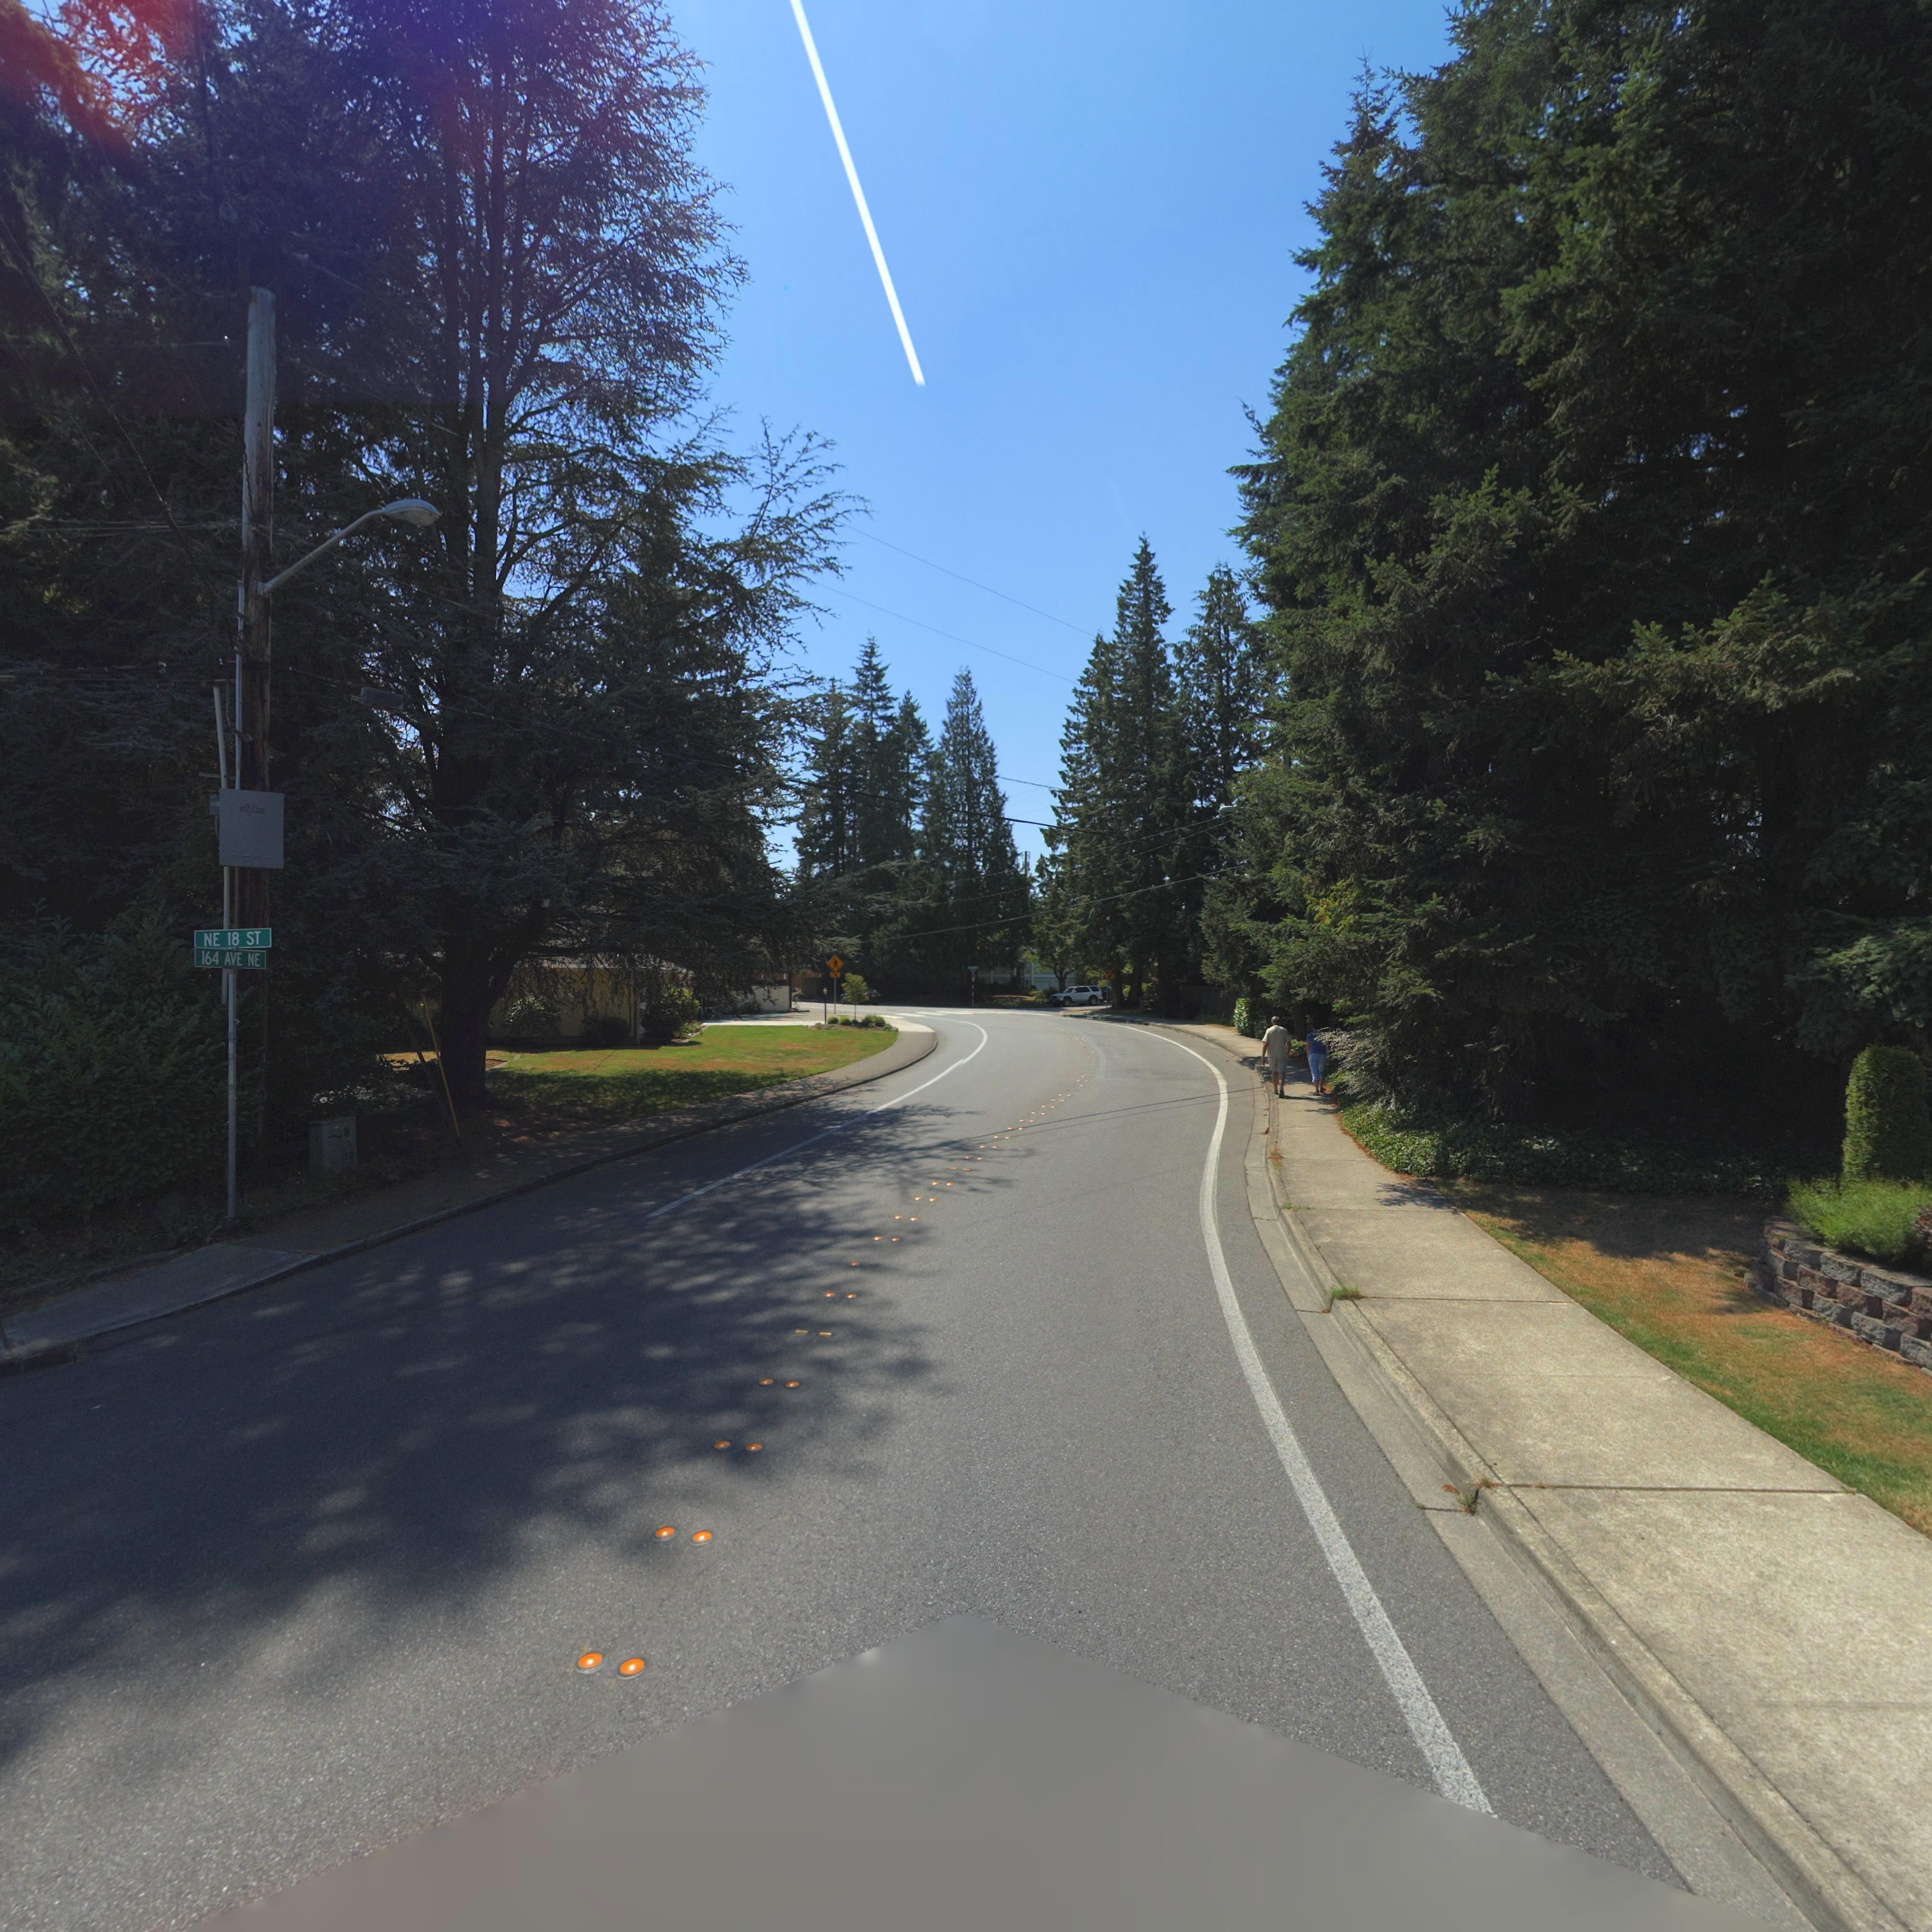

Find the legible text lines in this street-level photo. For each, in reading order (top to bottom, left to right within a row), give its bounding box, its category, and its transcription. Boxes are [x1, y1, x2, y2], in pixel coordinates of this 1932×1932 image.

[204, 931, 261, 946] StreetName: NE 18 ST
[205, 951, 260, 966] StreetName: 64 AVE NE